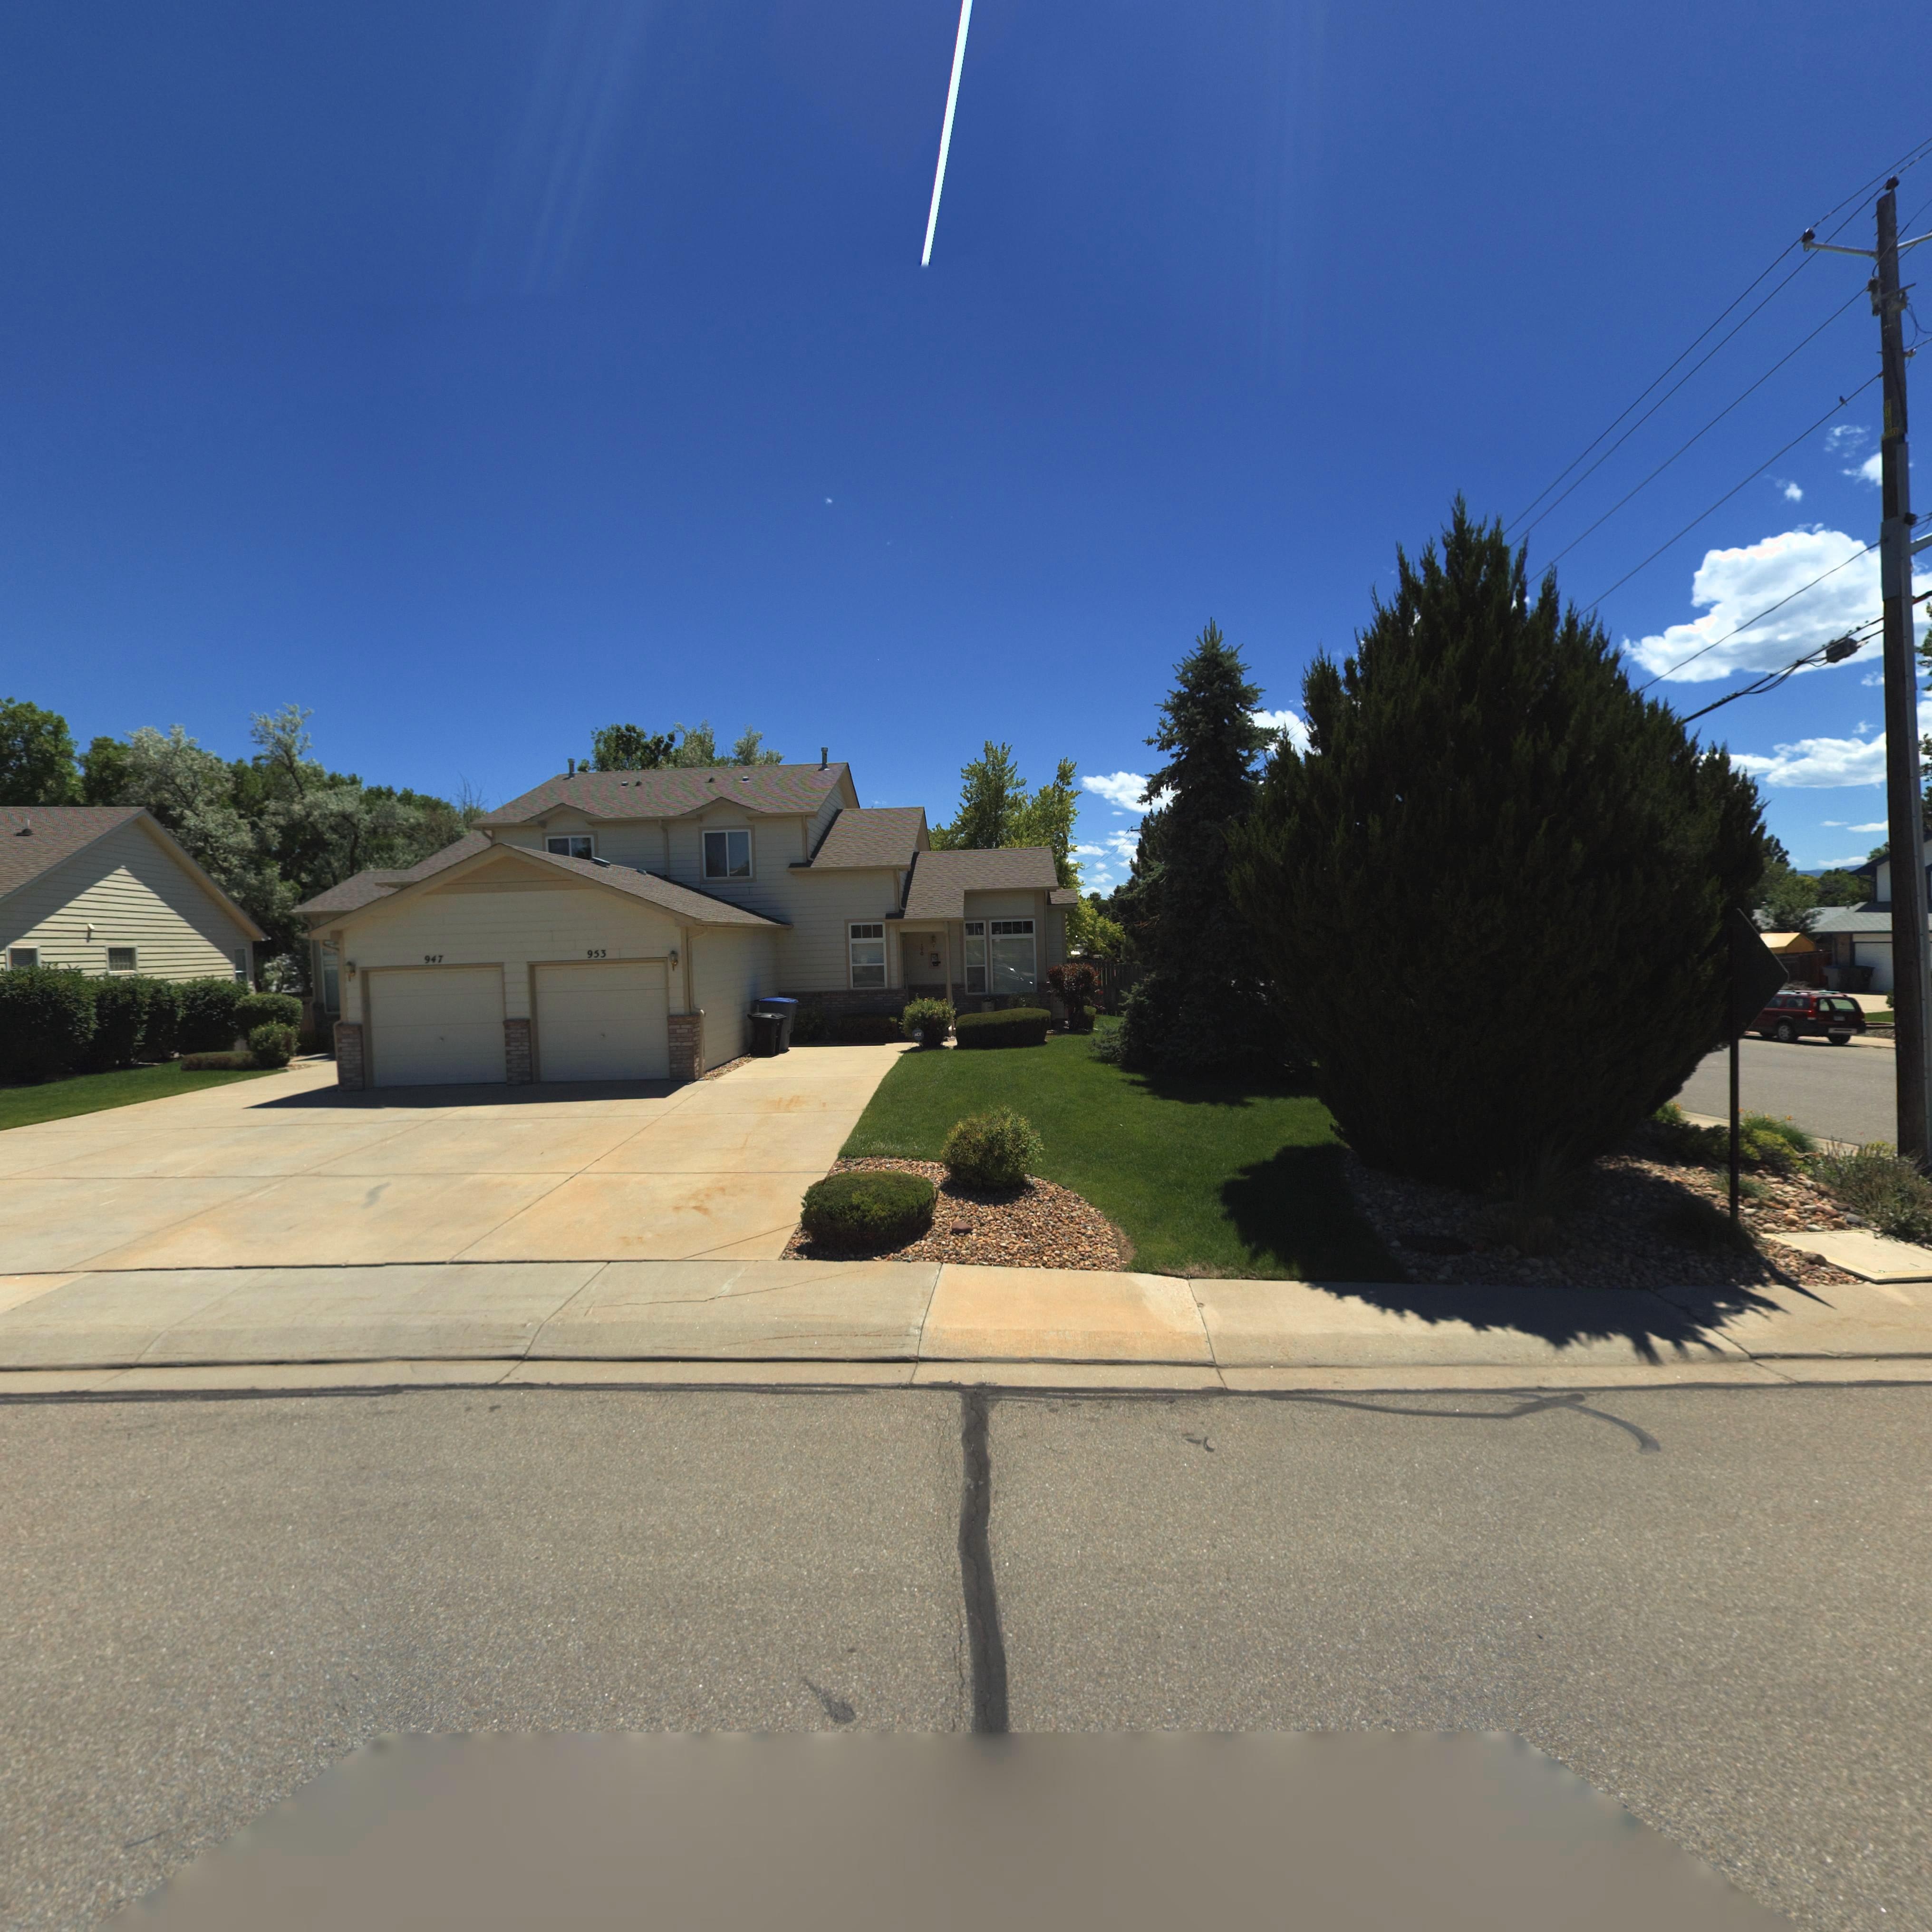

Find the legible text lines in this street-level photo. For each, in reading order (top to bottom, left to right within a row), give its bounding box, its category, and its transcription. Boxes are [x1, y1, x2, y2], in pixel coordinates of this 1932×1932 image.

[587, 949, 607, 958] StreetNumber: 953
[424, 954, 444, 964] StreetNumber: 947